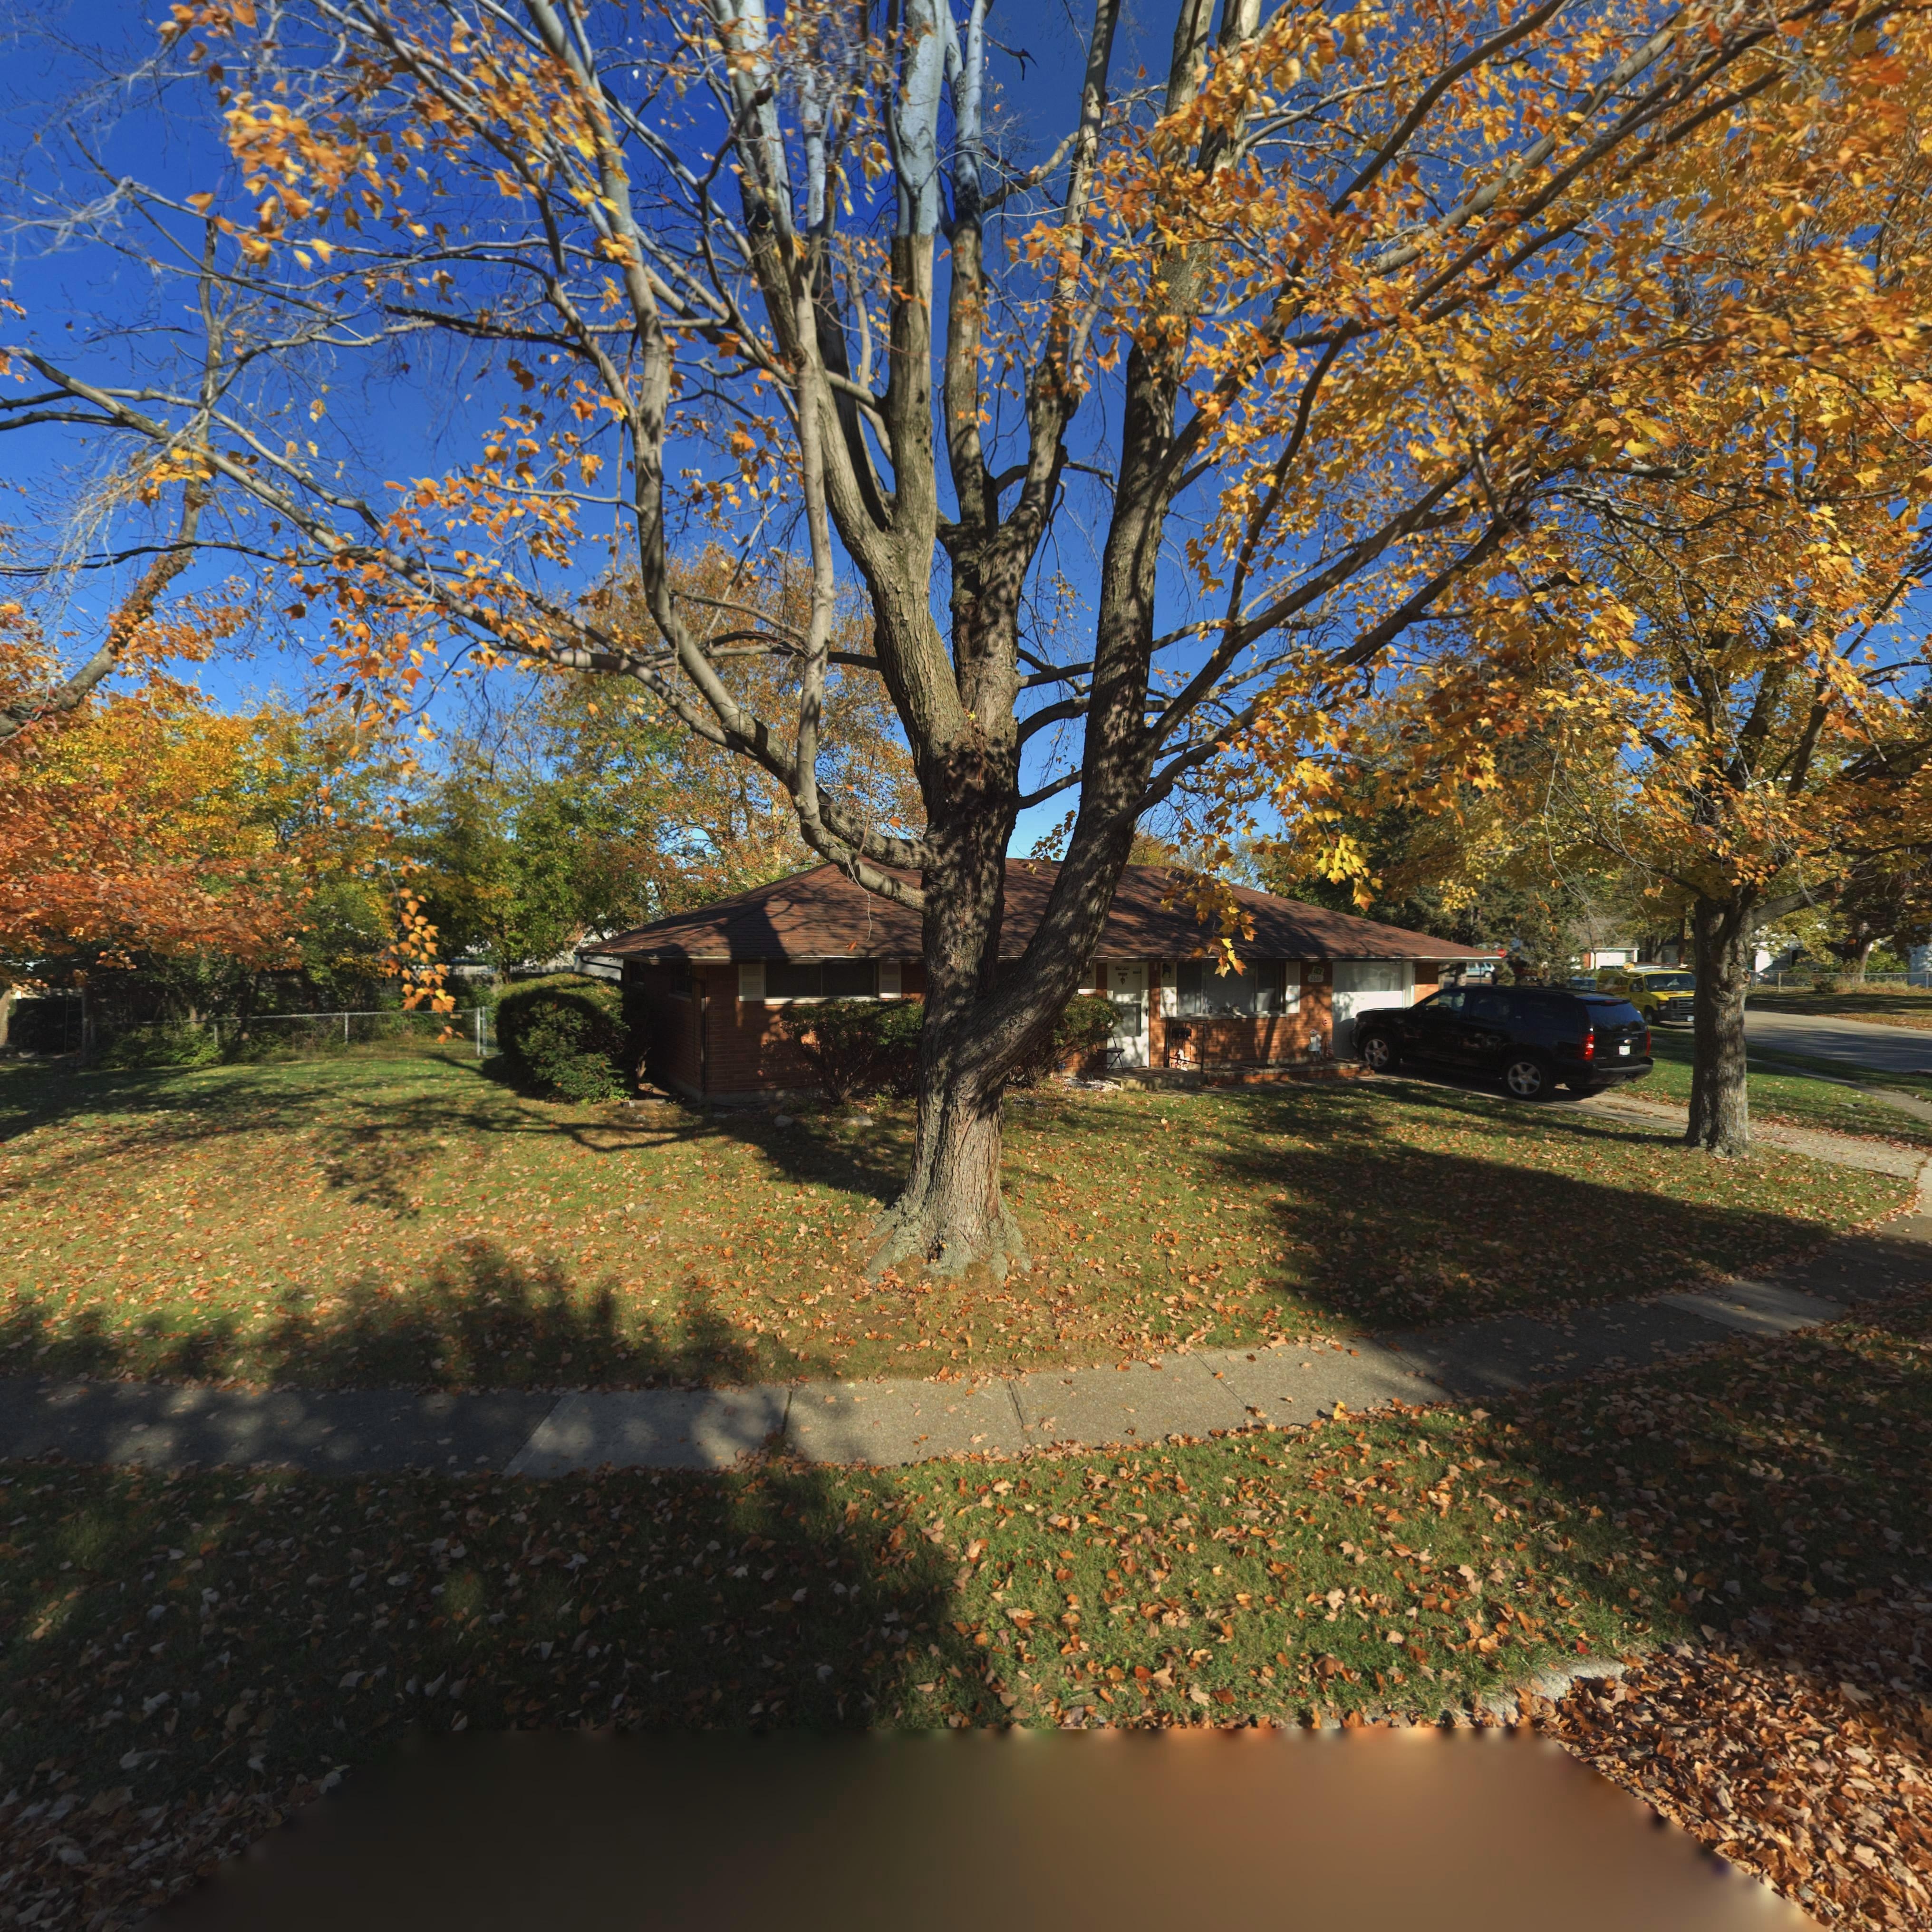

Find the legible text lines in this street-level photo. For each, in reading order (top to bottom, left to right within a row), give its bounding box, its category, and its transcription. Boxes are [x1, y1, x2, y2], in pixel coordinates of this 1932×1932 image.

[1309, 975, 1322, 982] StreetNumber: 2***